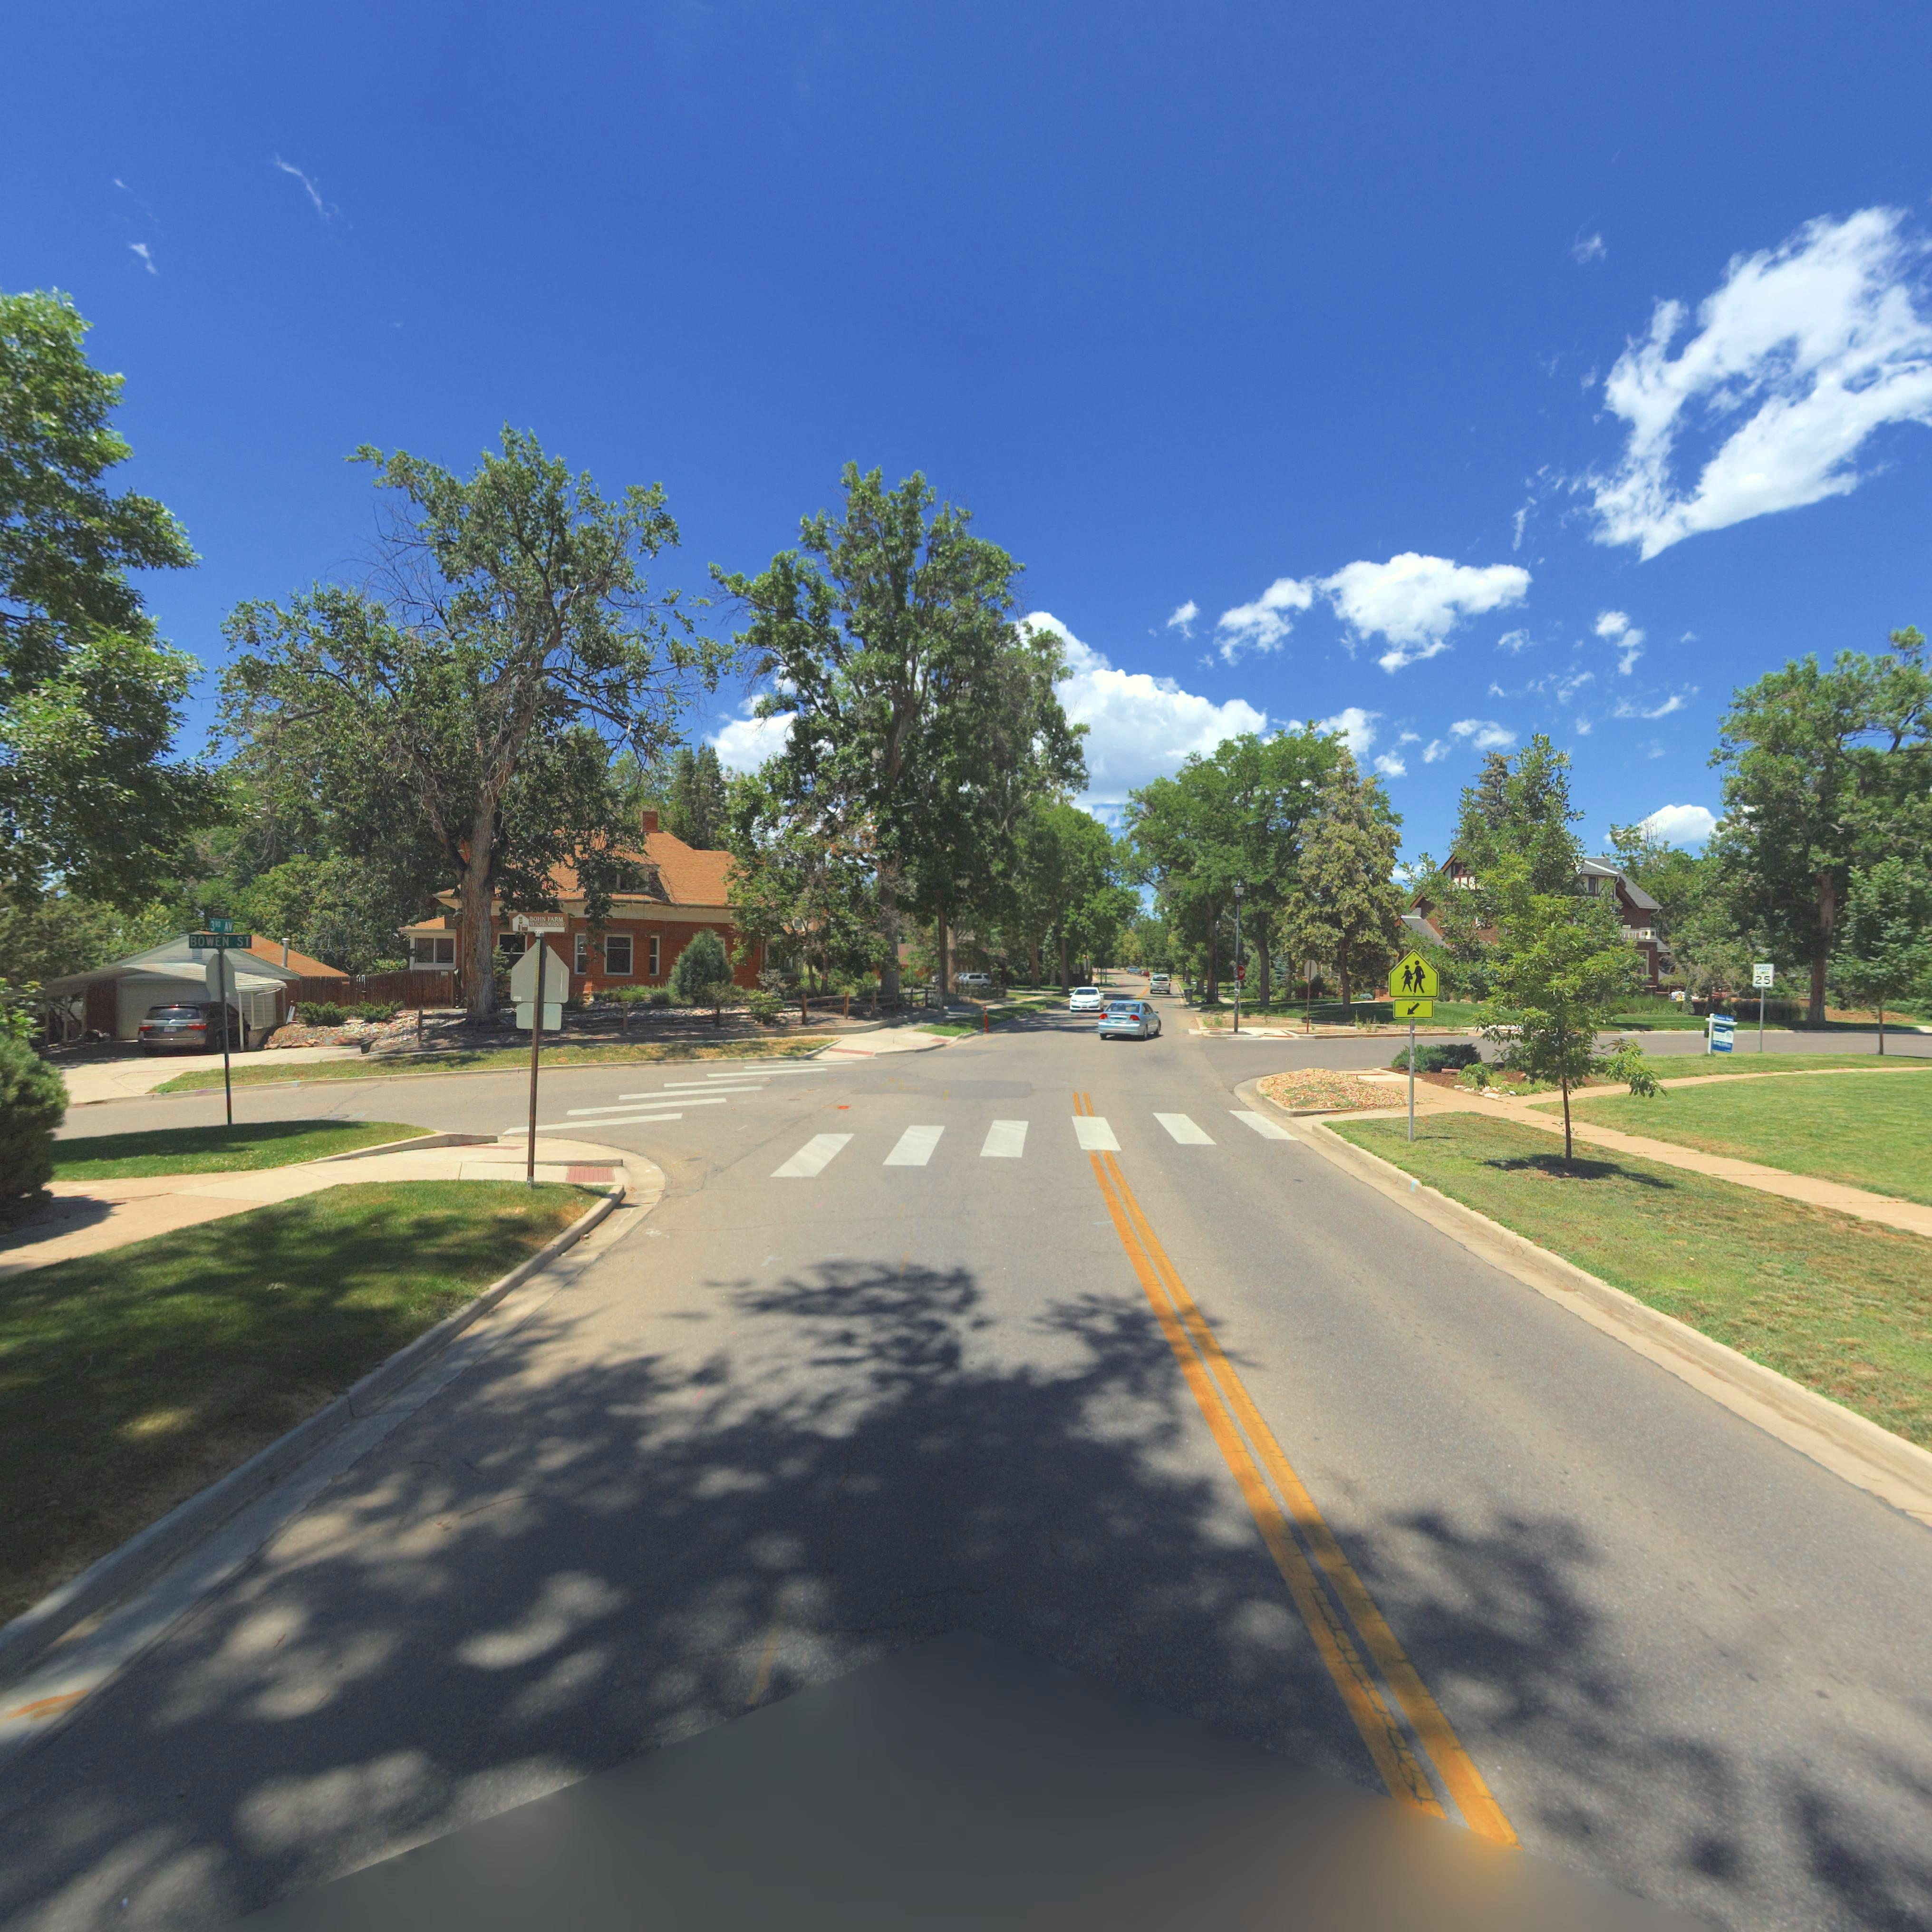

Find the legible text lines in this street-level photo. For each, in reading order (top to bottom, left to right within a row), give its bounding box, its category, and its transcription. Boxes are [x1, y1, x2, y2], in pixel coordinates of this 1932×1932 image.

[210, 920, 233, 932] StreetName: 3RD AV
[190, 936, 250, 947] StreetName: BOWEN ST